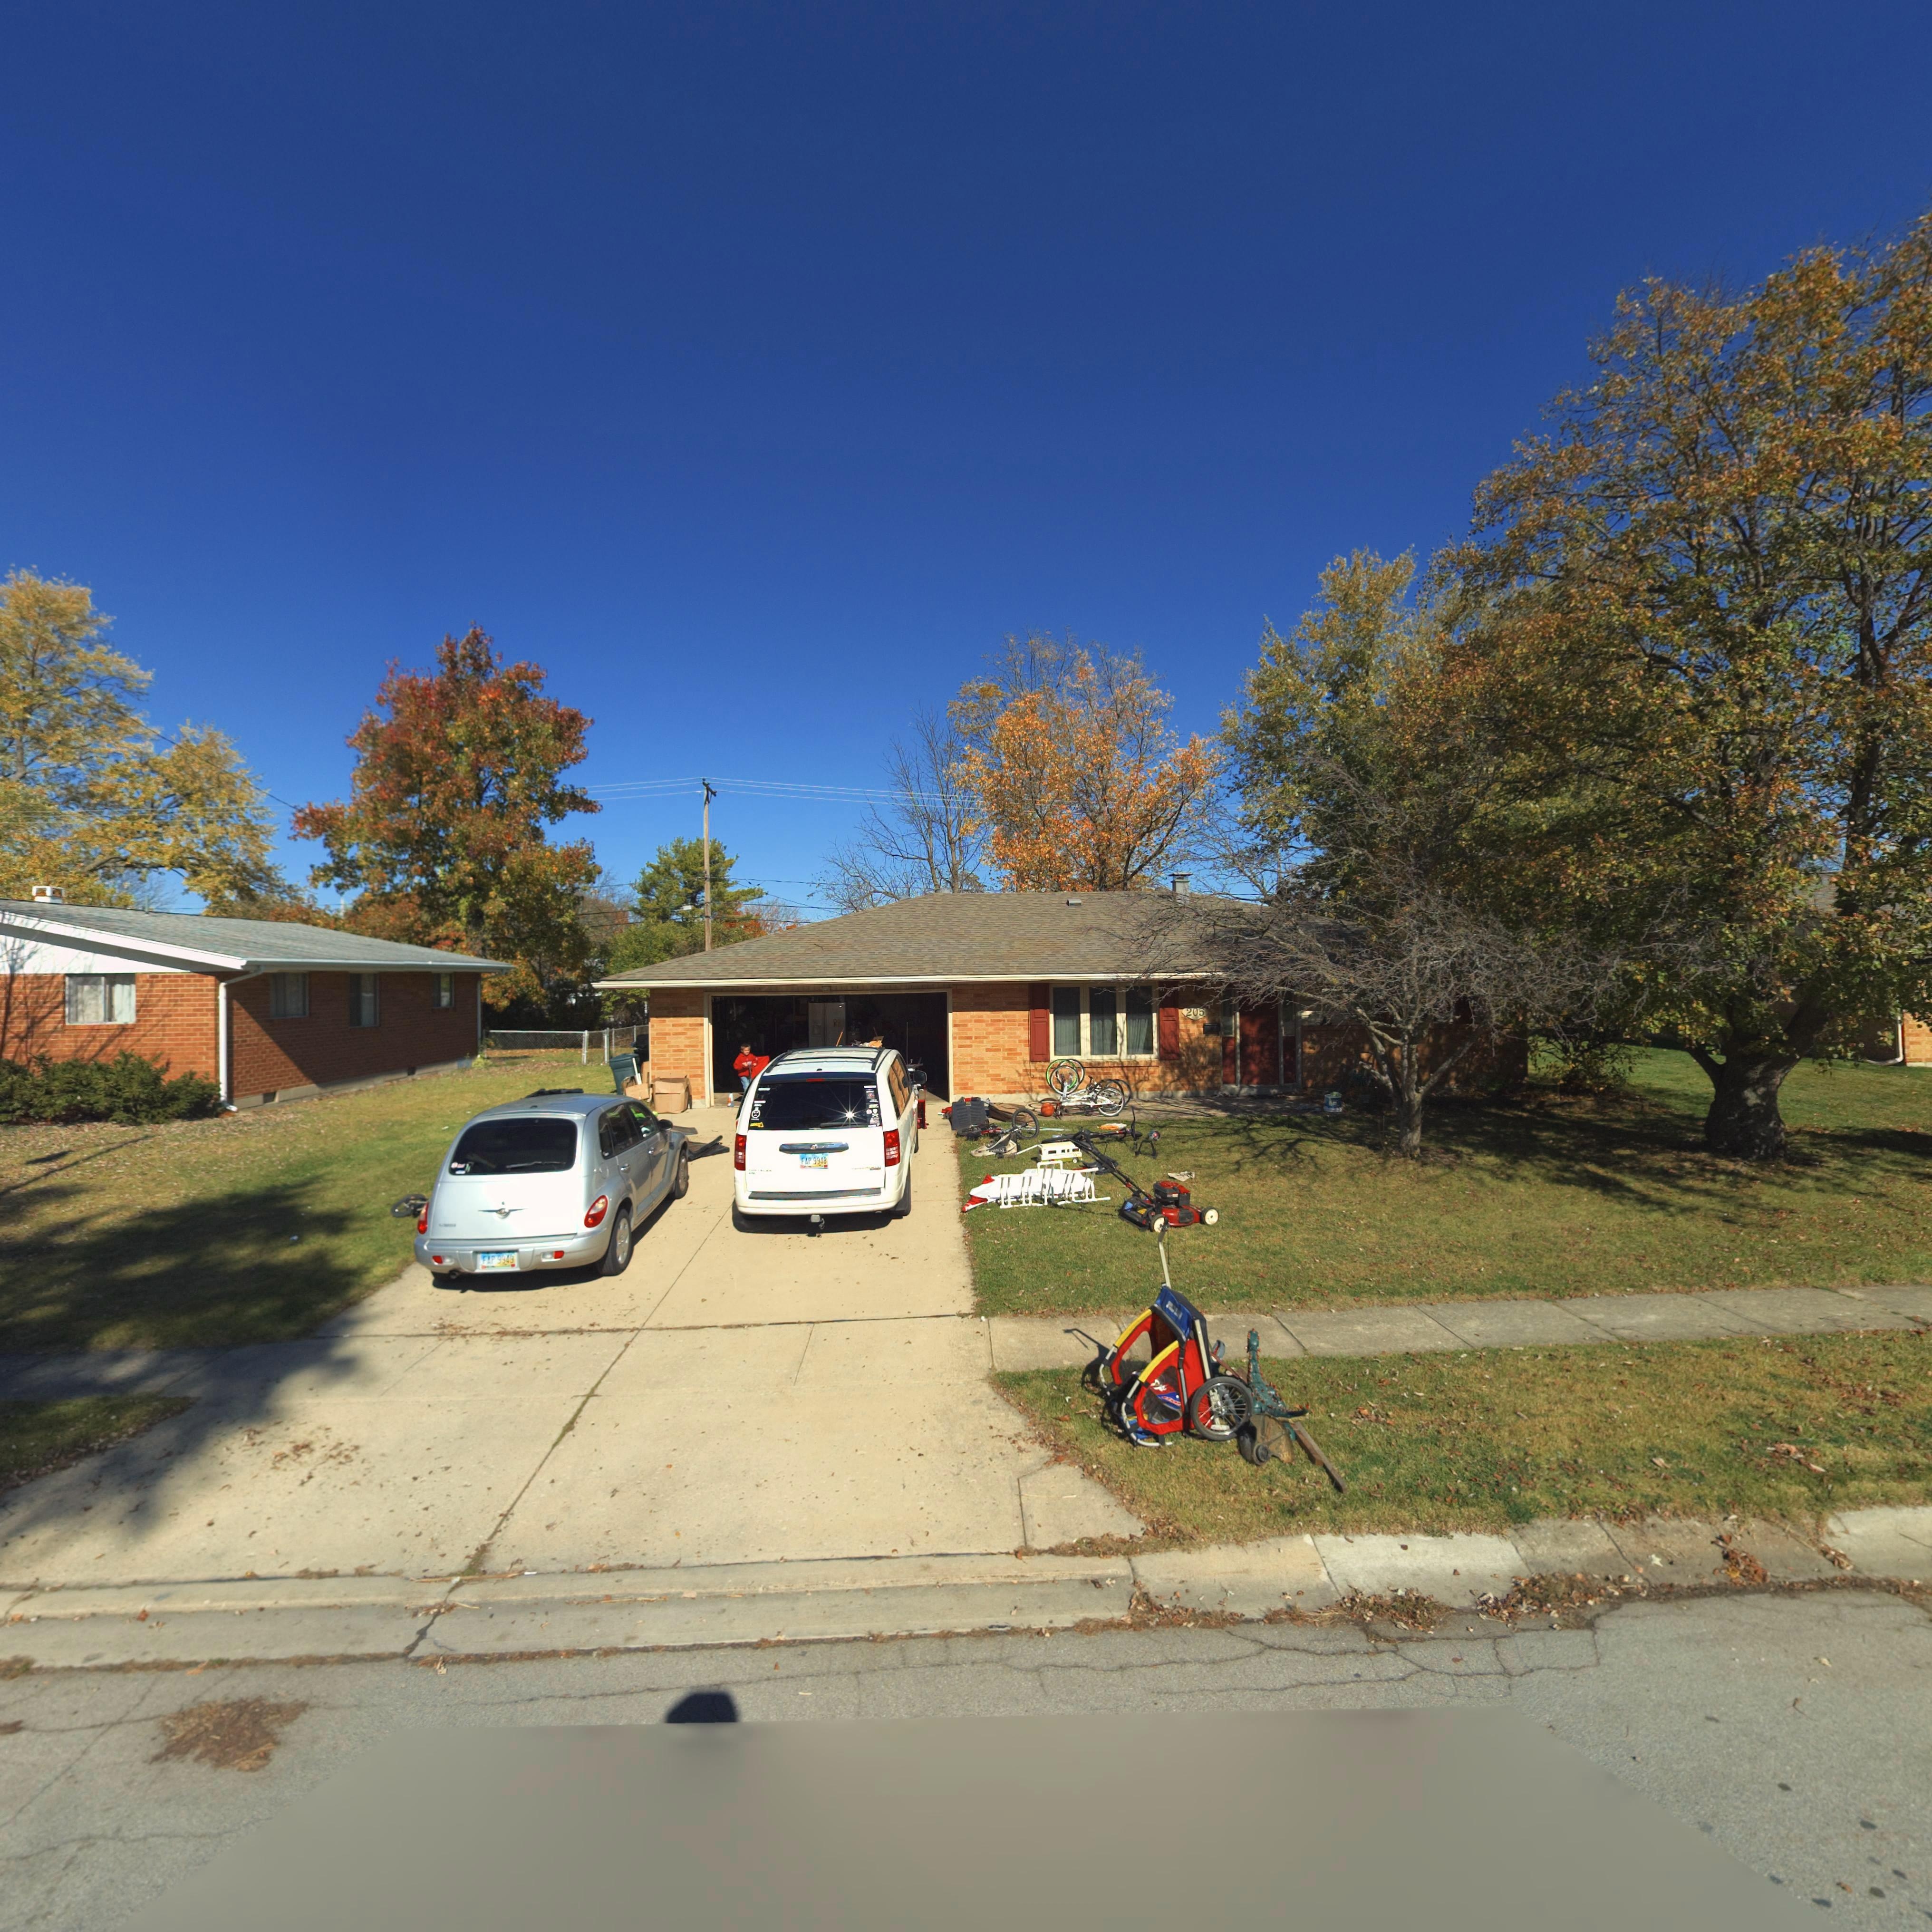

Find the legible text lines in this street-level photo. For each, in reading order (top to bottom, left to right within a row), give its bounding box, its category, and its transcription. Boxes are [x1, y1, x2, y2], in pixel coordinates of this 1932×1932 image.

[1185, 1007, 1205, 1017] StreetNumber: 205